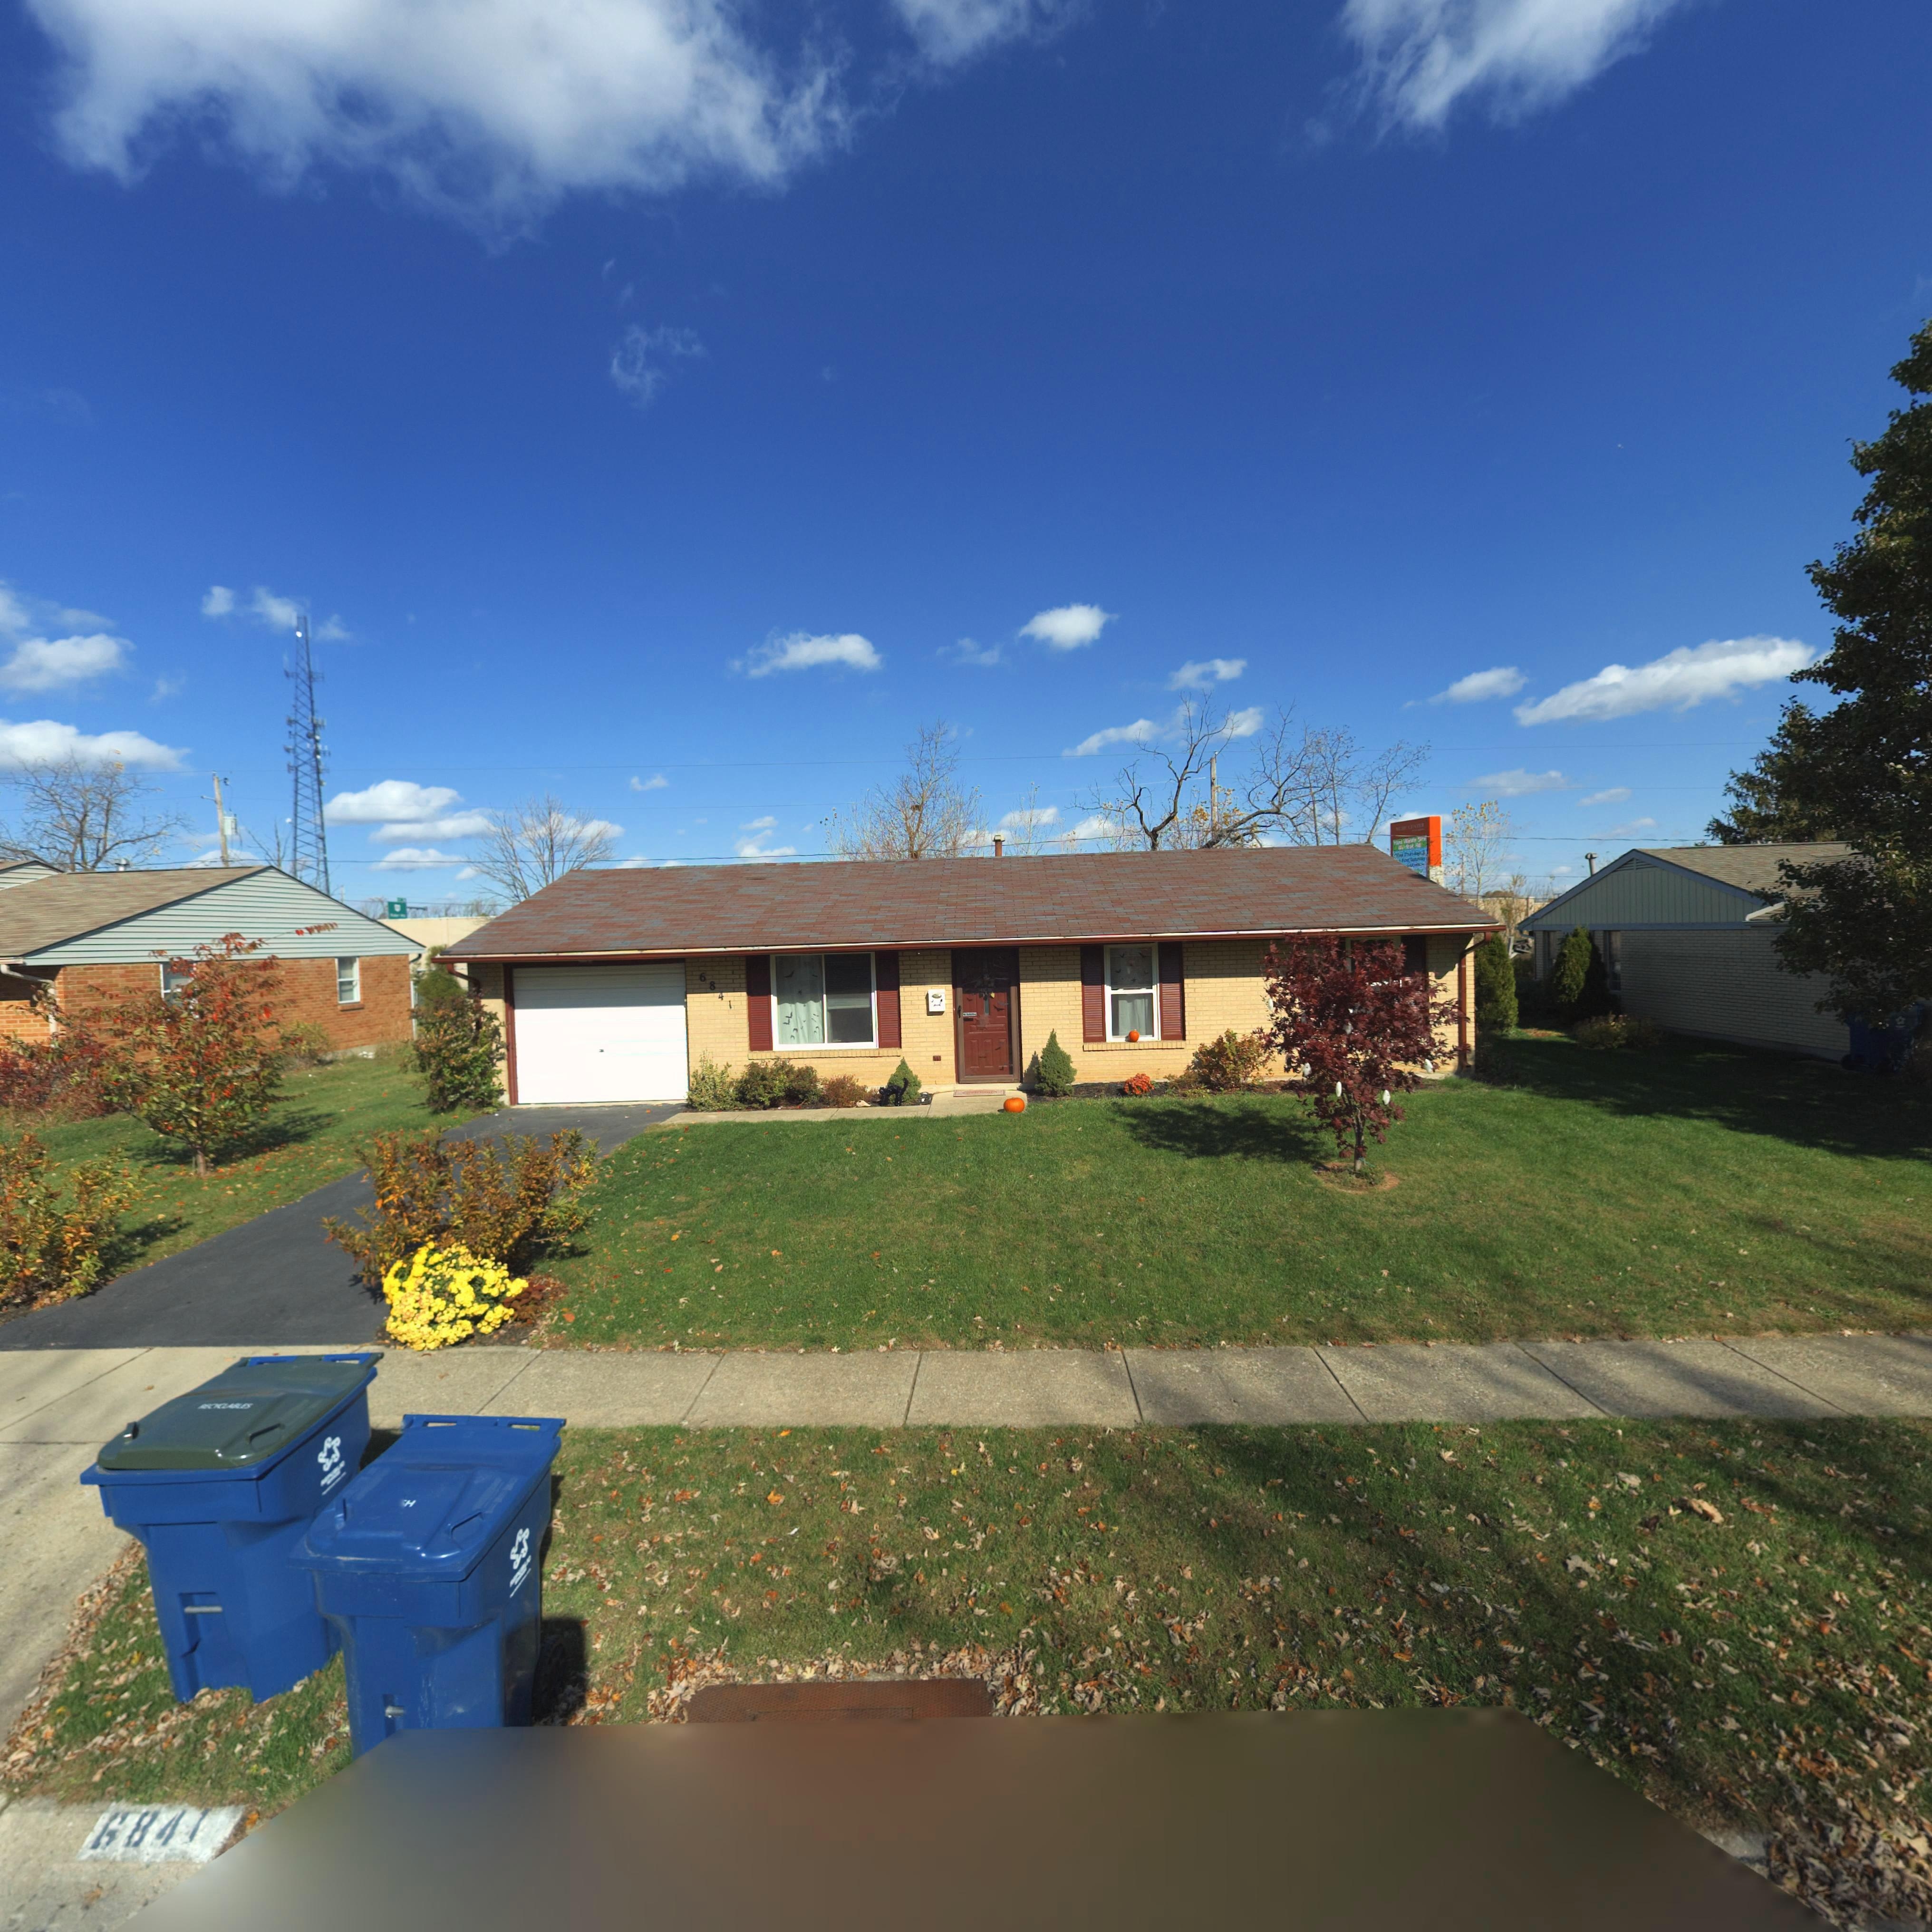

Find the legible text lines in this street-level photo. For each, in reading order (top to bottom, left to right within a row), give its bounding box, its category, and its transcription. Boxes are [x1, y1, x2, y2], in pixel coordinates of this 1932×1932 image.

[698, 971, 733, 1010] StreetNumber: 6841